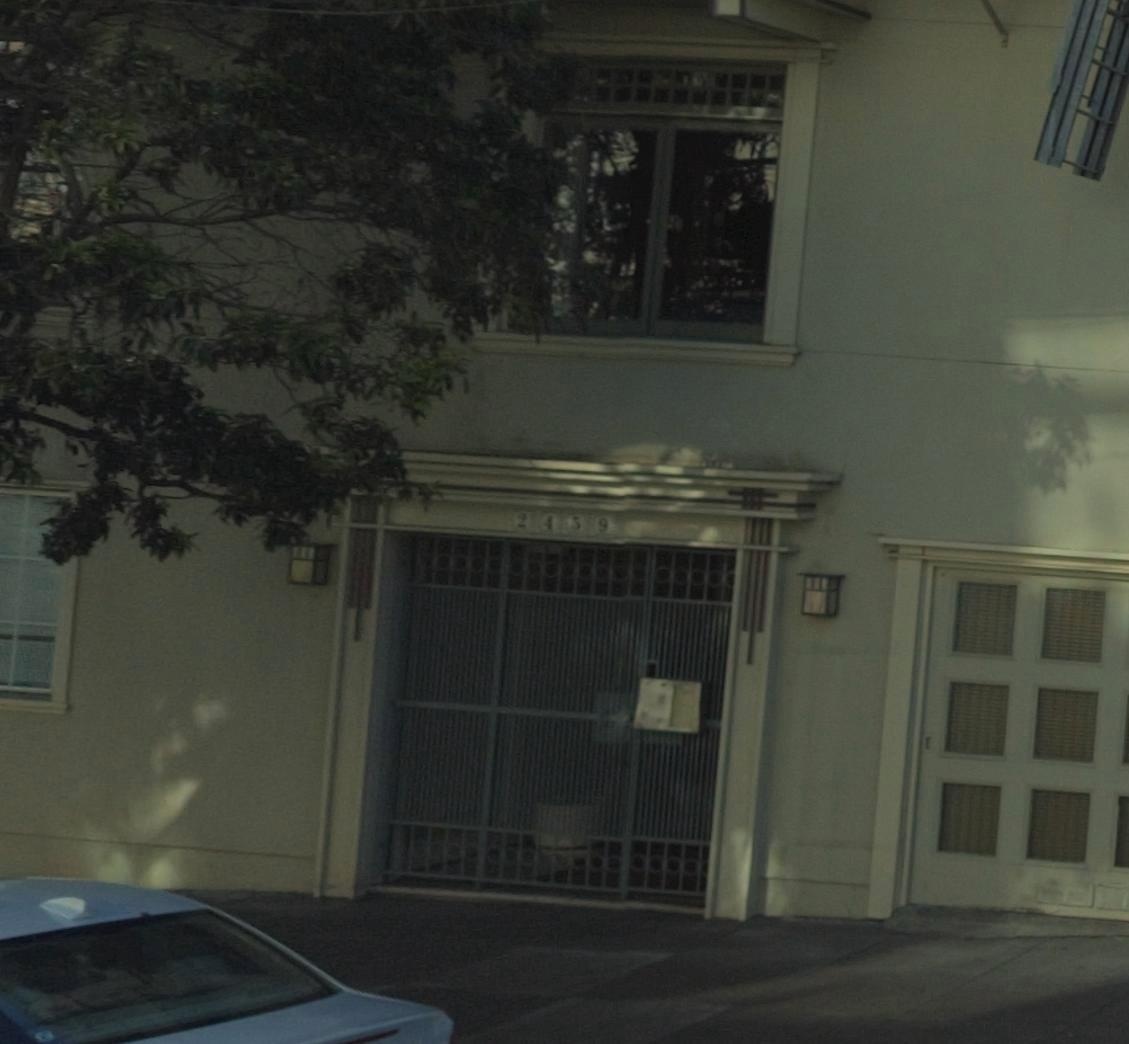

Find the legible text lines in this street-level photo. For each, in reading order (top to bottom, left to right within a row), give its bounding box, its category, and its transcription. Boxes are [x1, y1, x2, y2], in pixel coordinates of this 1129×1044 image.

[514, 513, 609, 533] StreetNumber: 2459